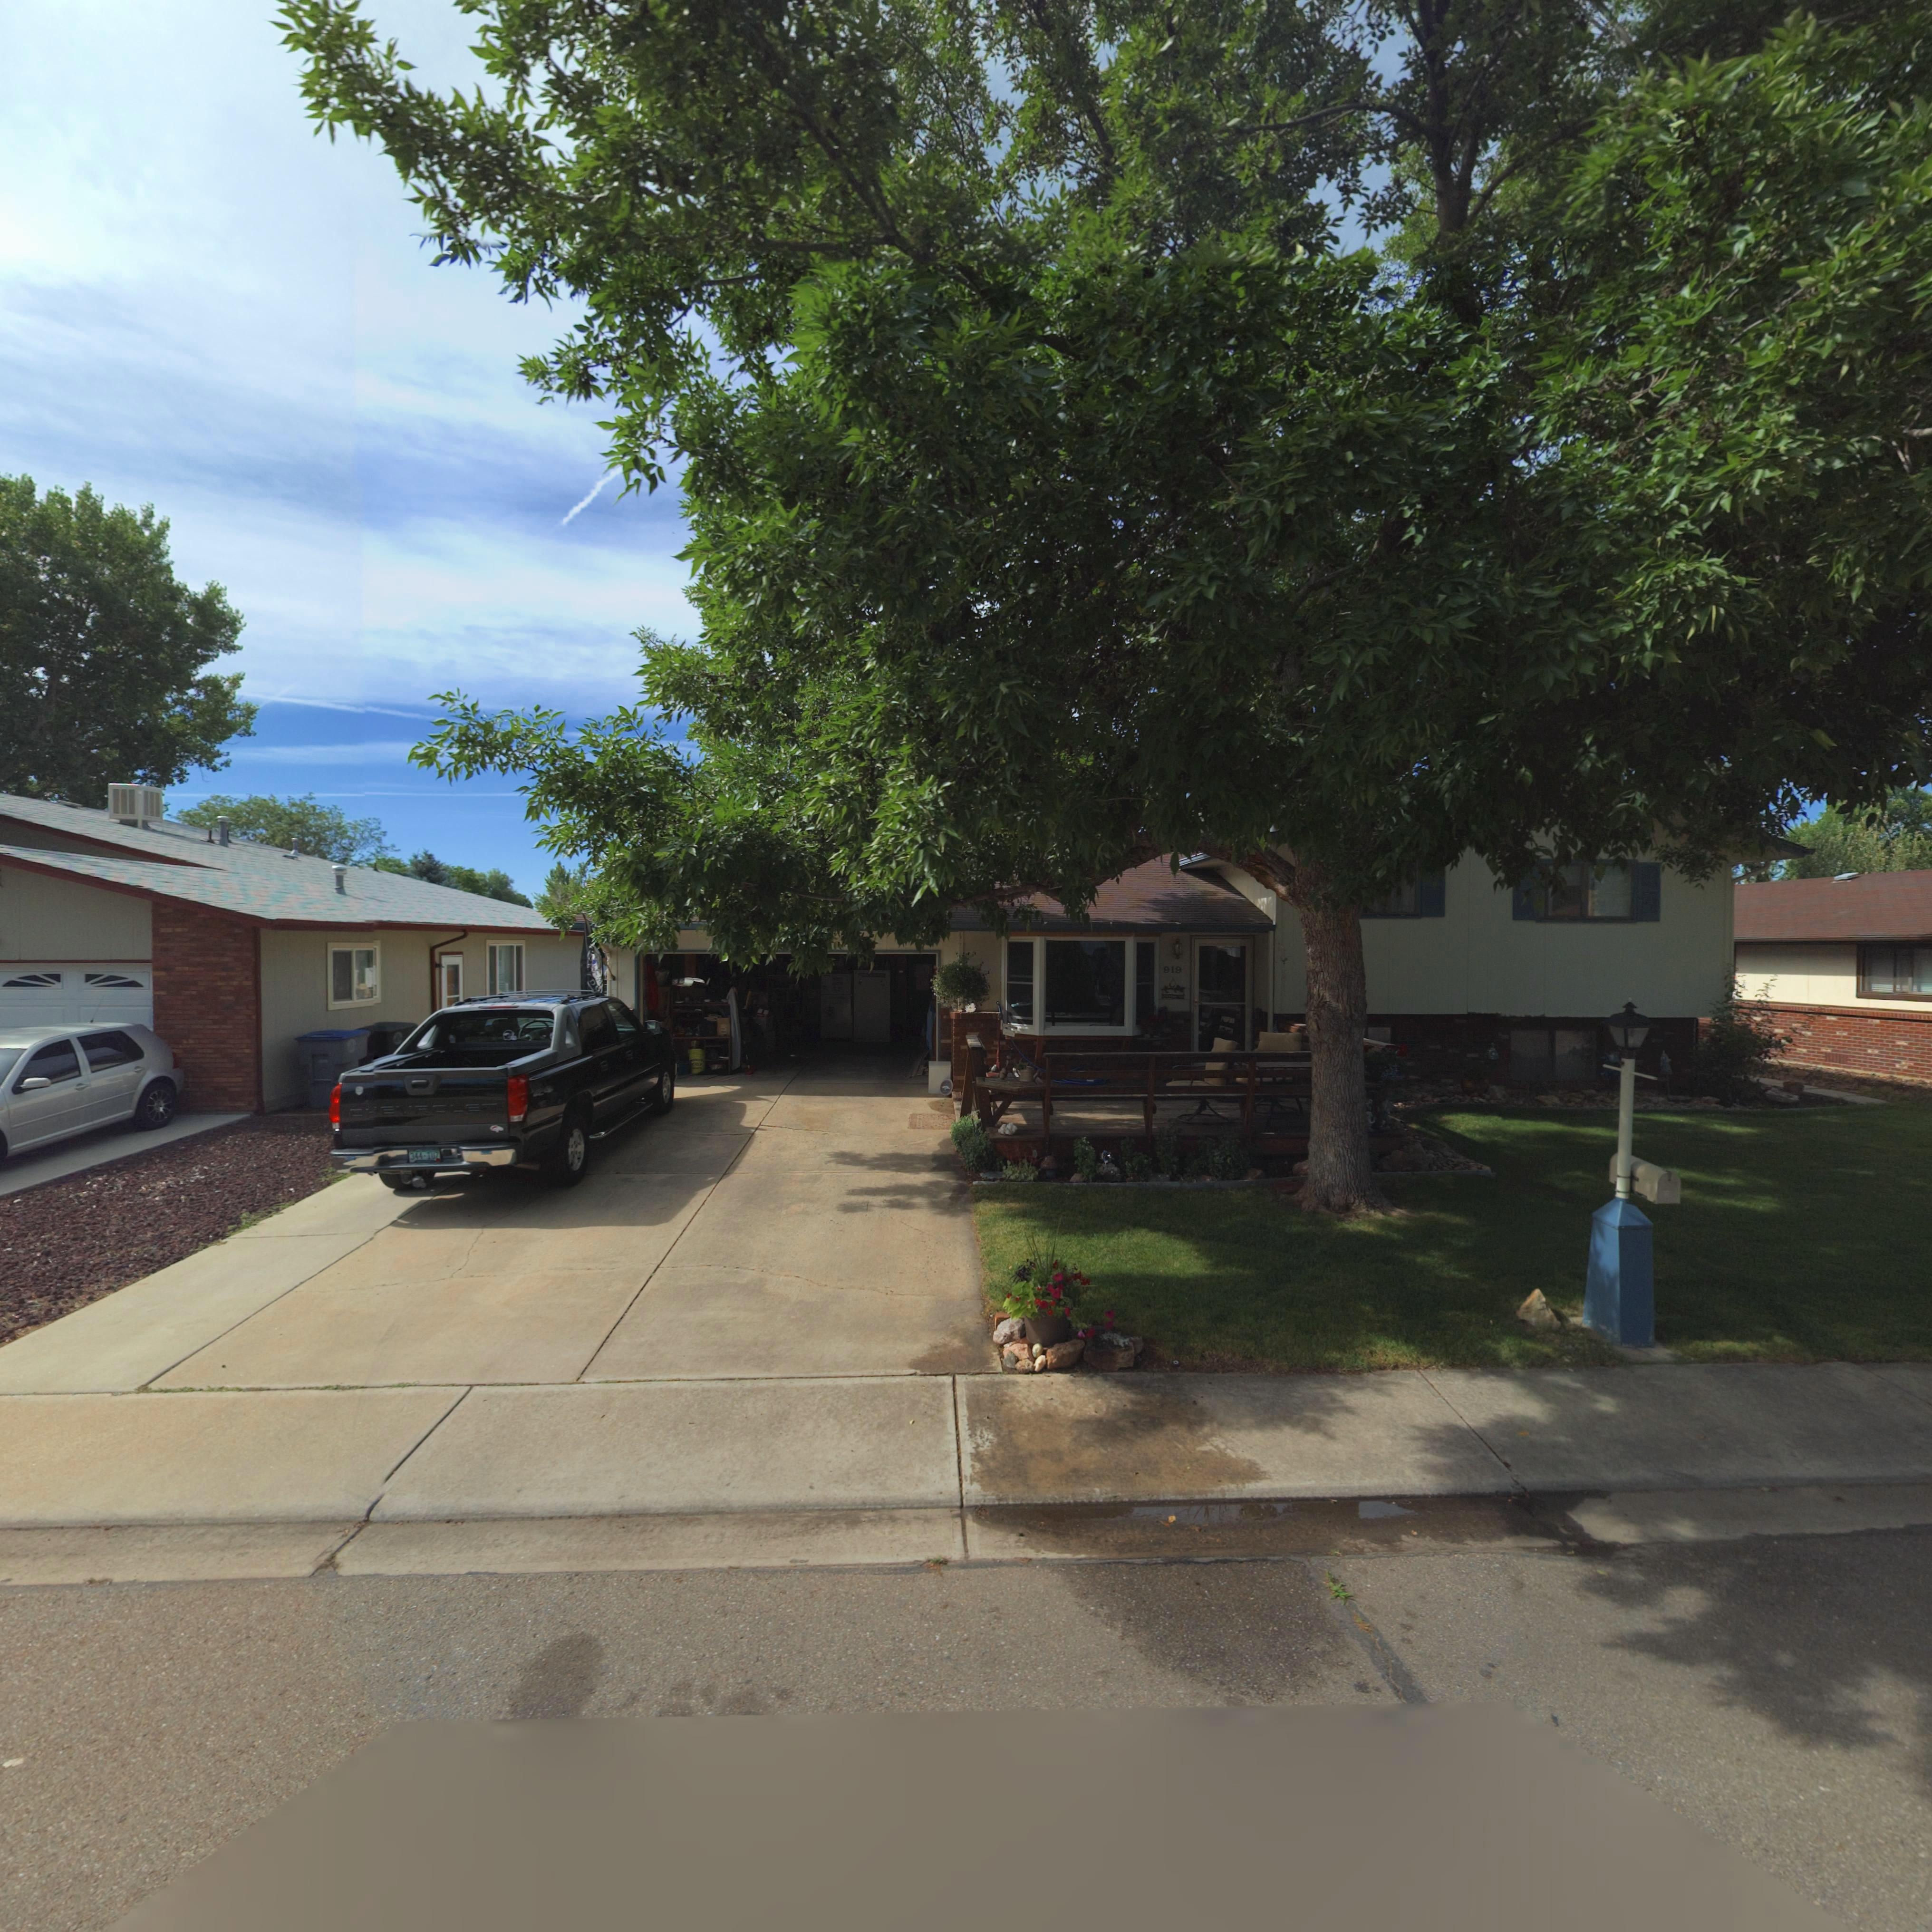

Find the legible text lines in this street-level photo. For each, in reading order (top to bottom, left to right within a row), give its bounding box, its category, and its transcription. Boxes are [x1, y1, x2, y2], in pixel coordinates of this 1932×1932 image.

[1162, 966, 1182, 974] StreetNumber: 919